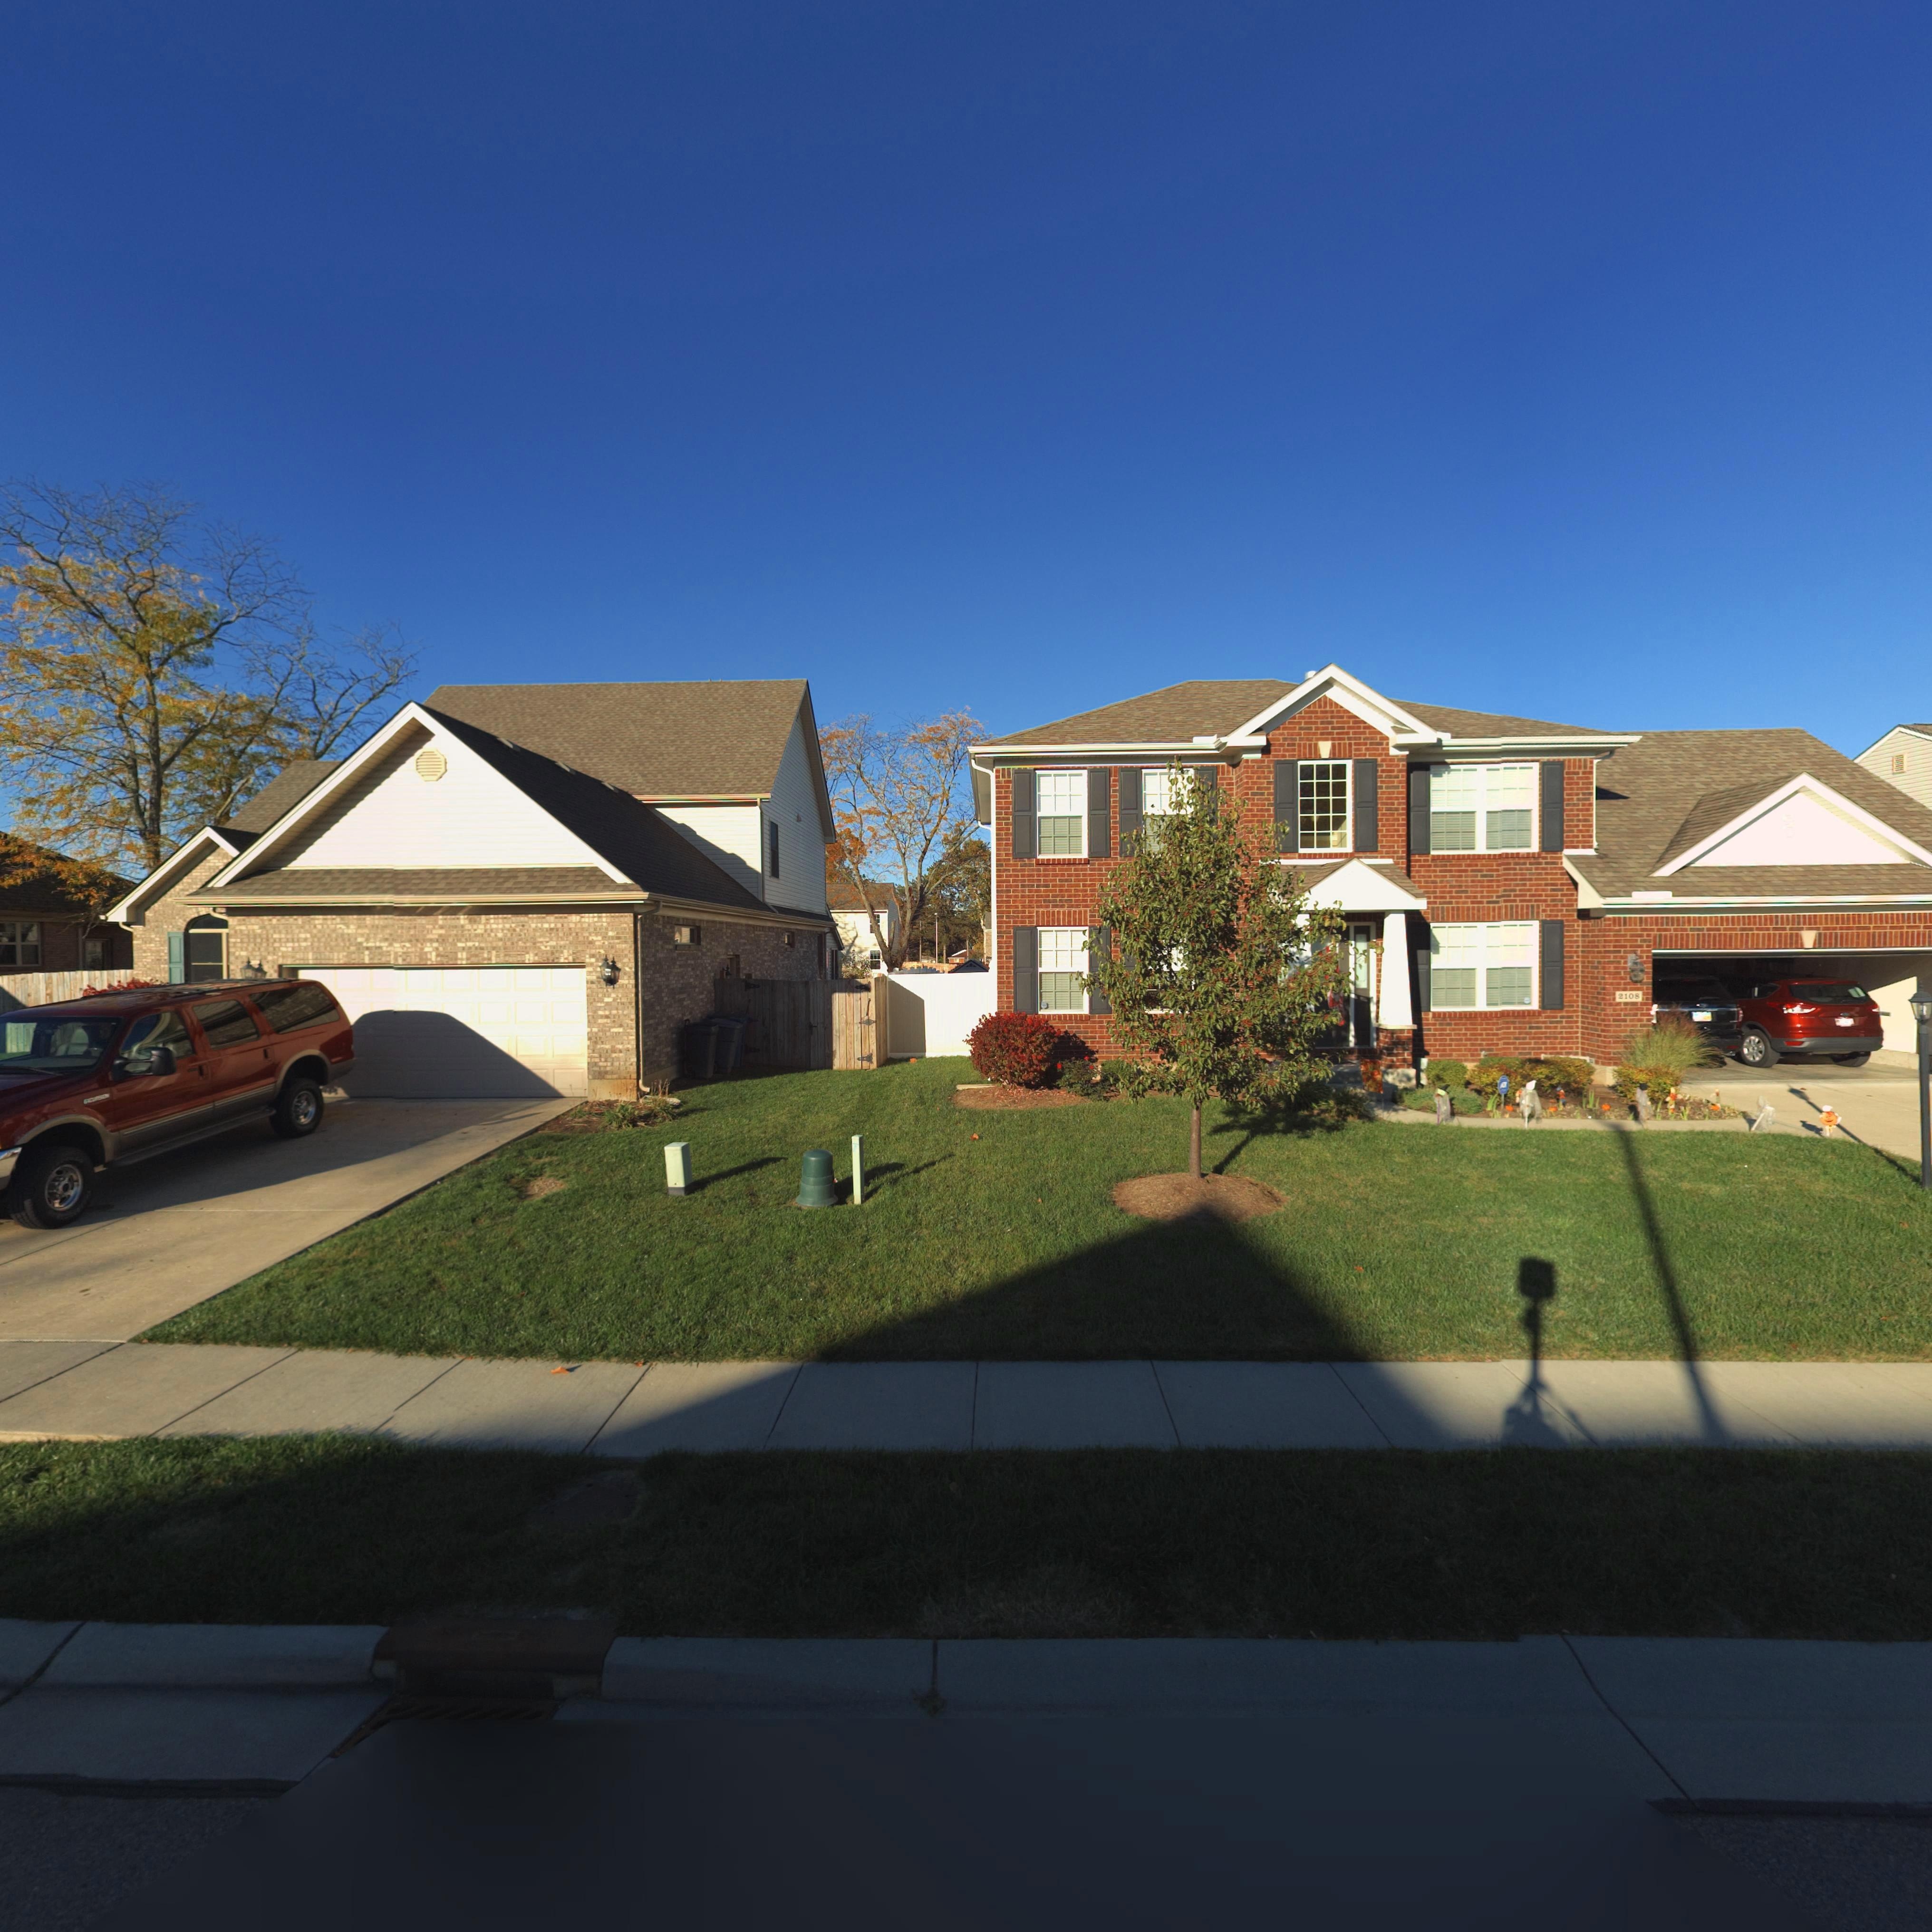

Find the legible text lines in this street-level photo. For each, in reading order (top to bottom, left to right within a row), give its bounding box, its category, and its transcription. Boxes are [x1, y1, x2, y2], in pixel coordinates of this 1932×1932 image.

[1617, 992, 1641, 1000] StreetNumber: 2108